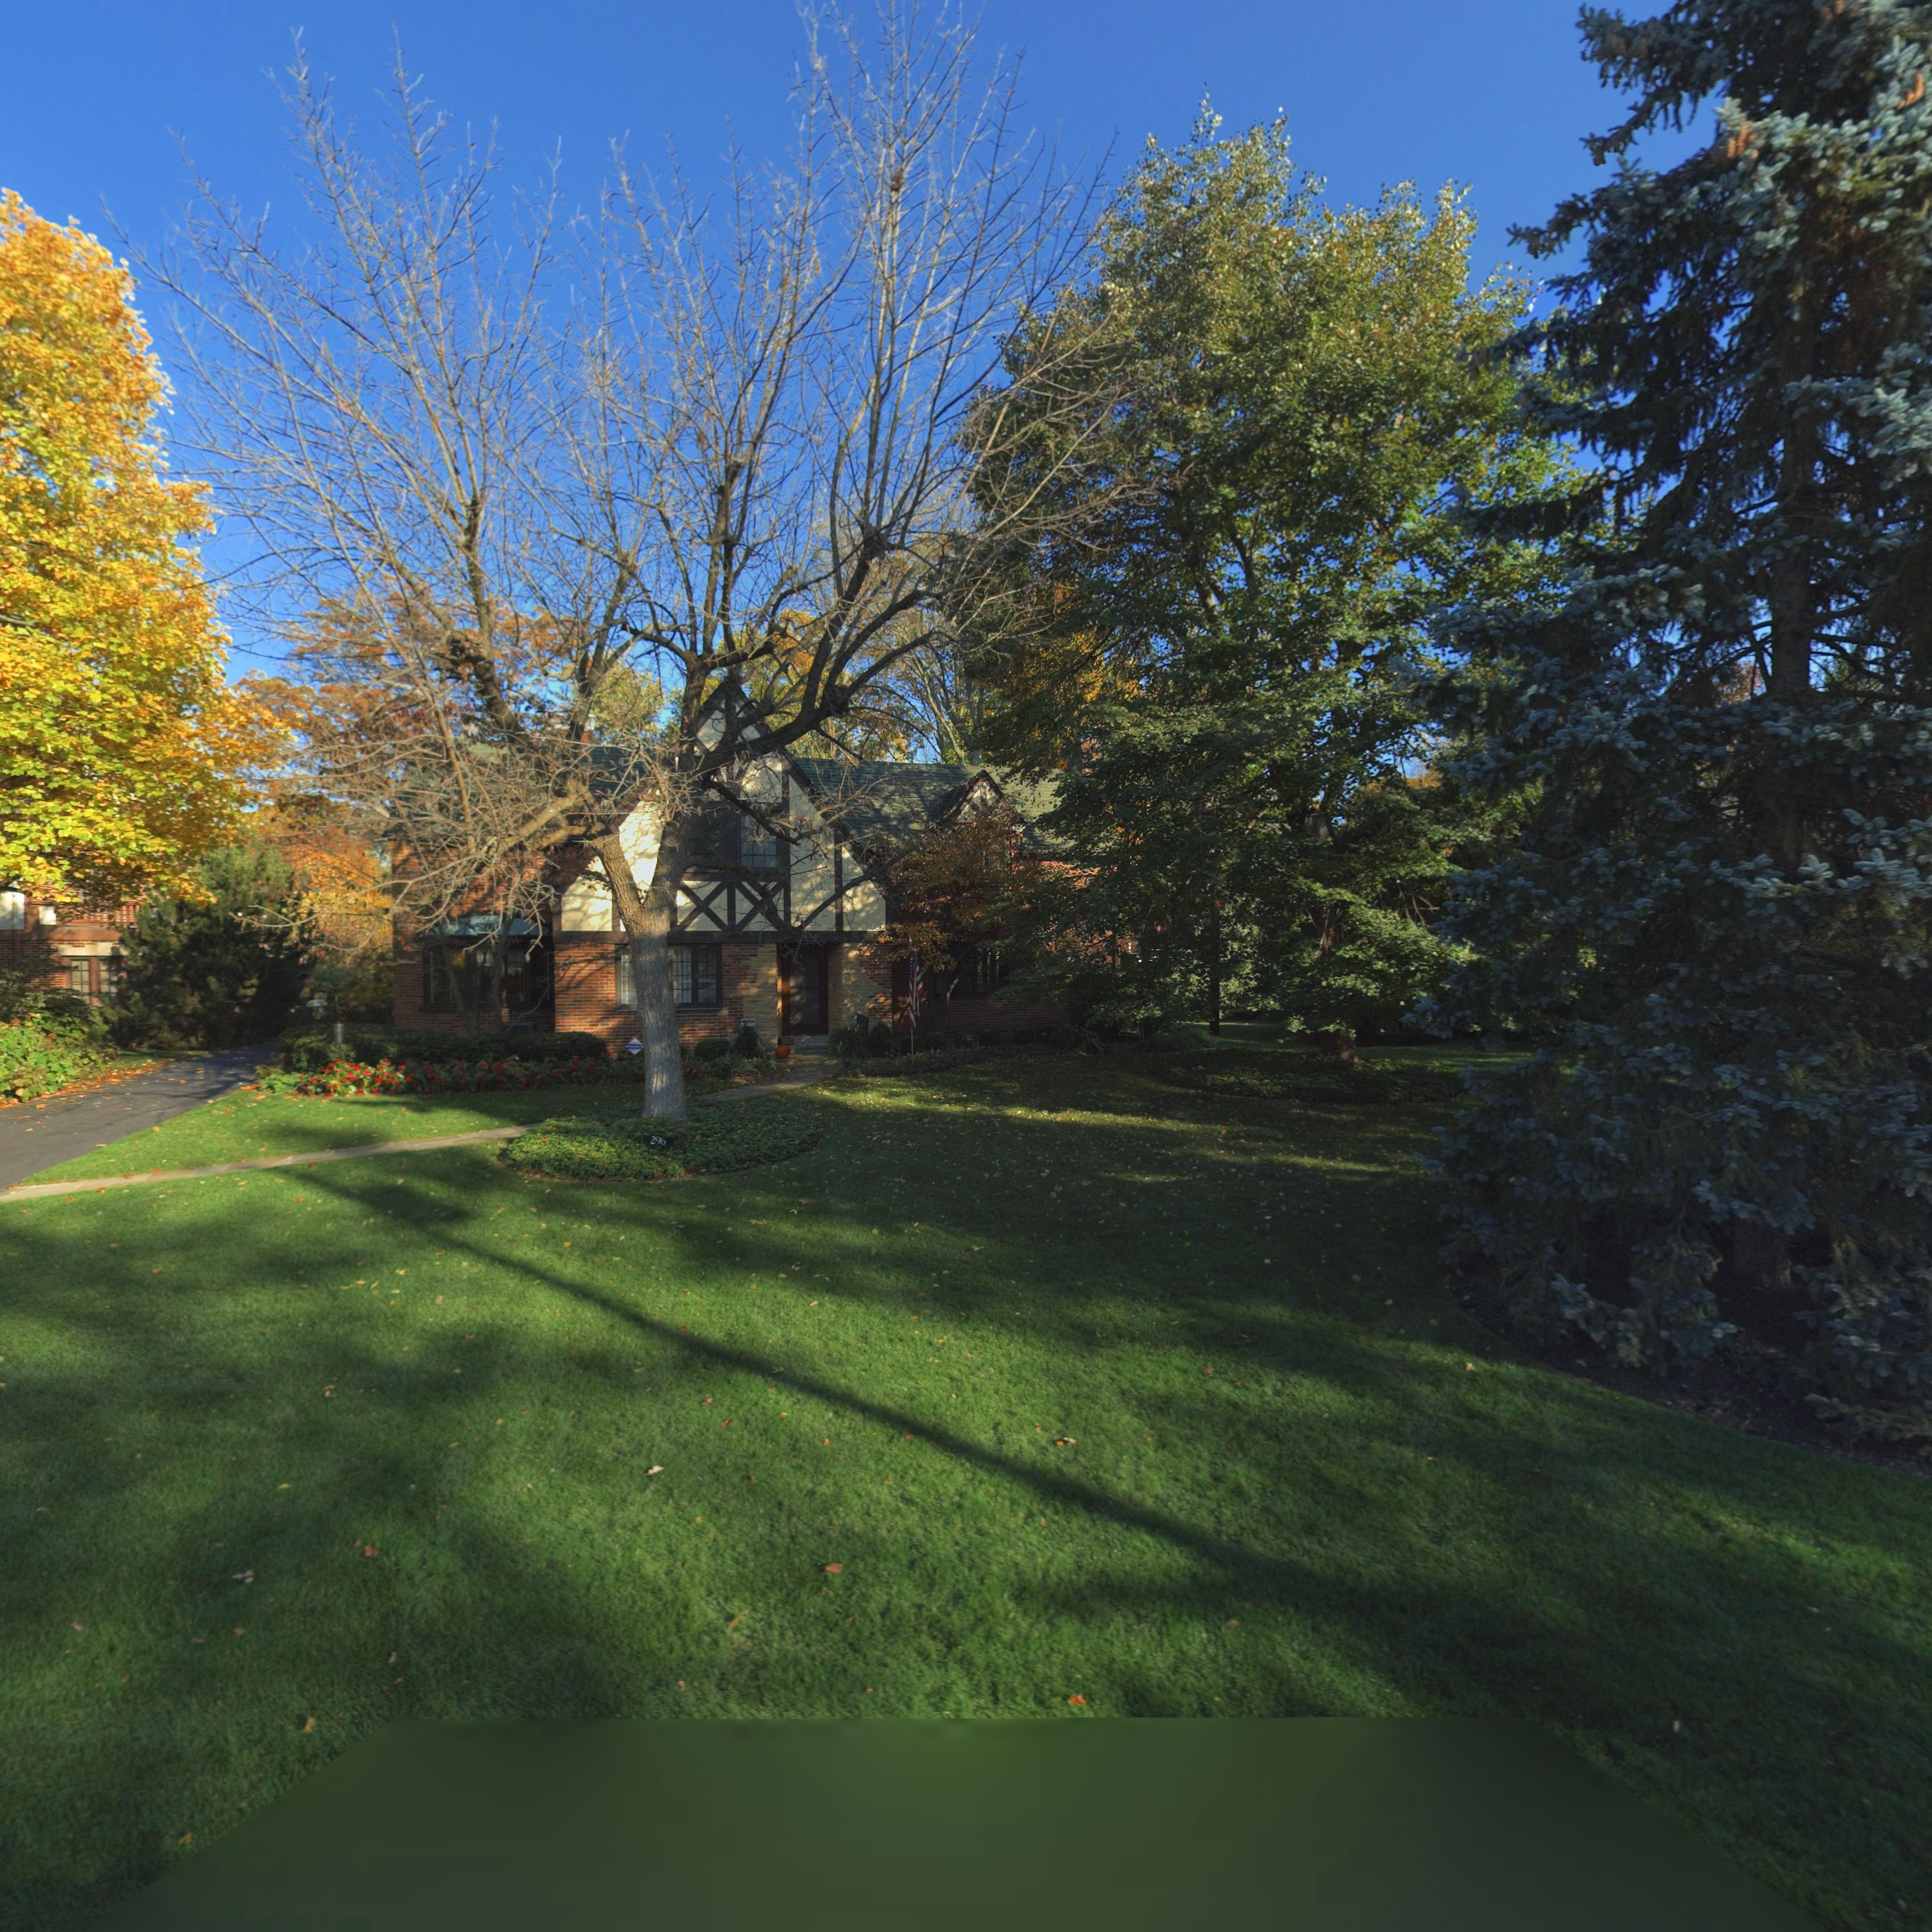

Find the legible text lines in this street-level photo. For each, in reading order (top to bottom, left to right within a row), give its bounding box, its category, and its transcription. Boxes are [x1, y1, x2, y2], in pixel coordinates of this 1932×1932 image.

[648, 1134, 668, 1147] StreetNumber: 296